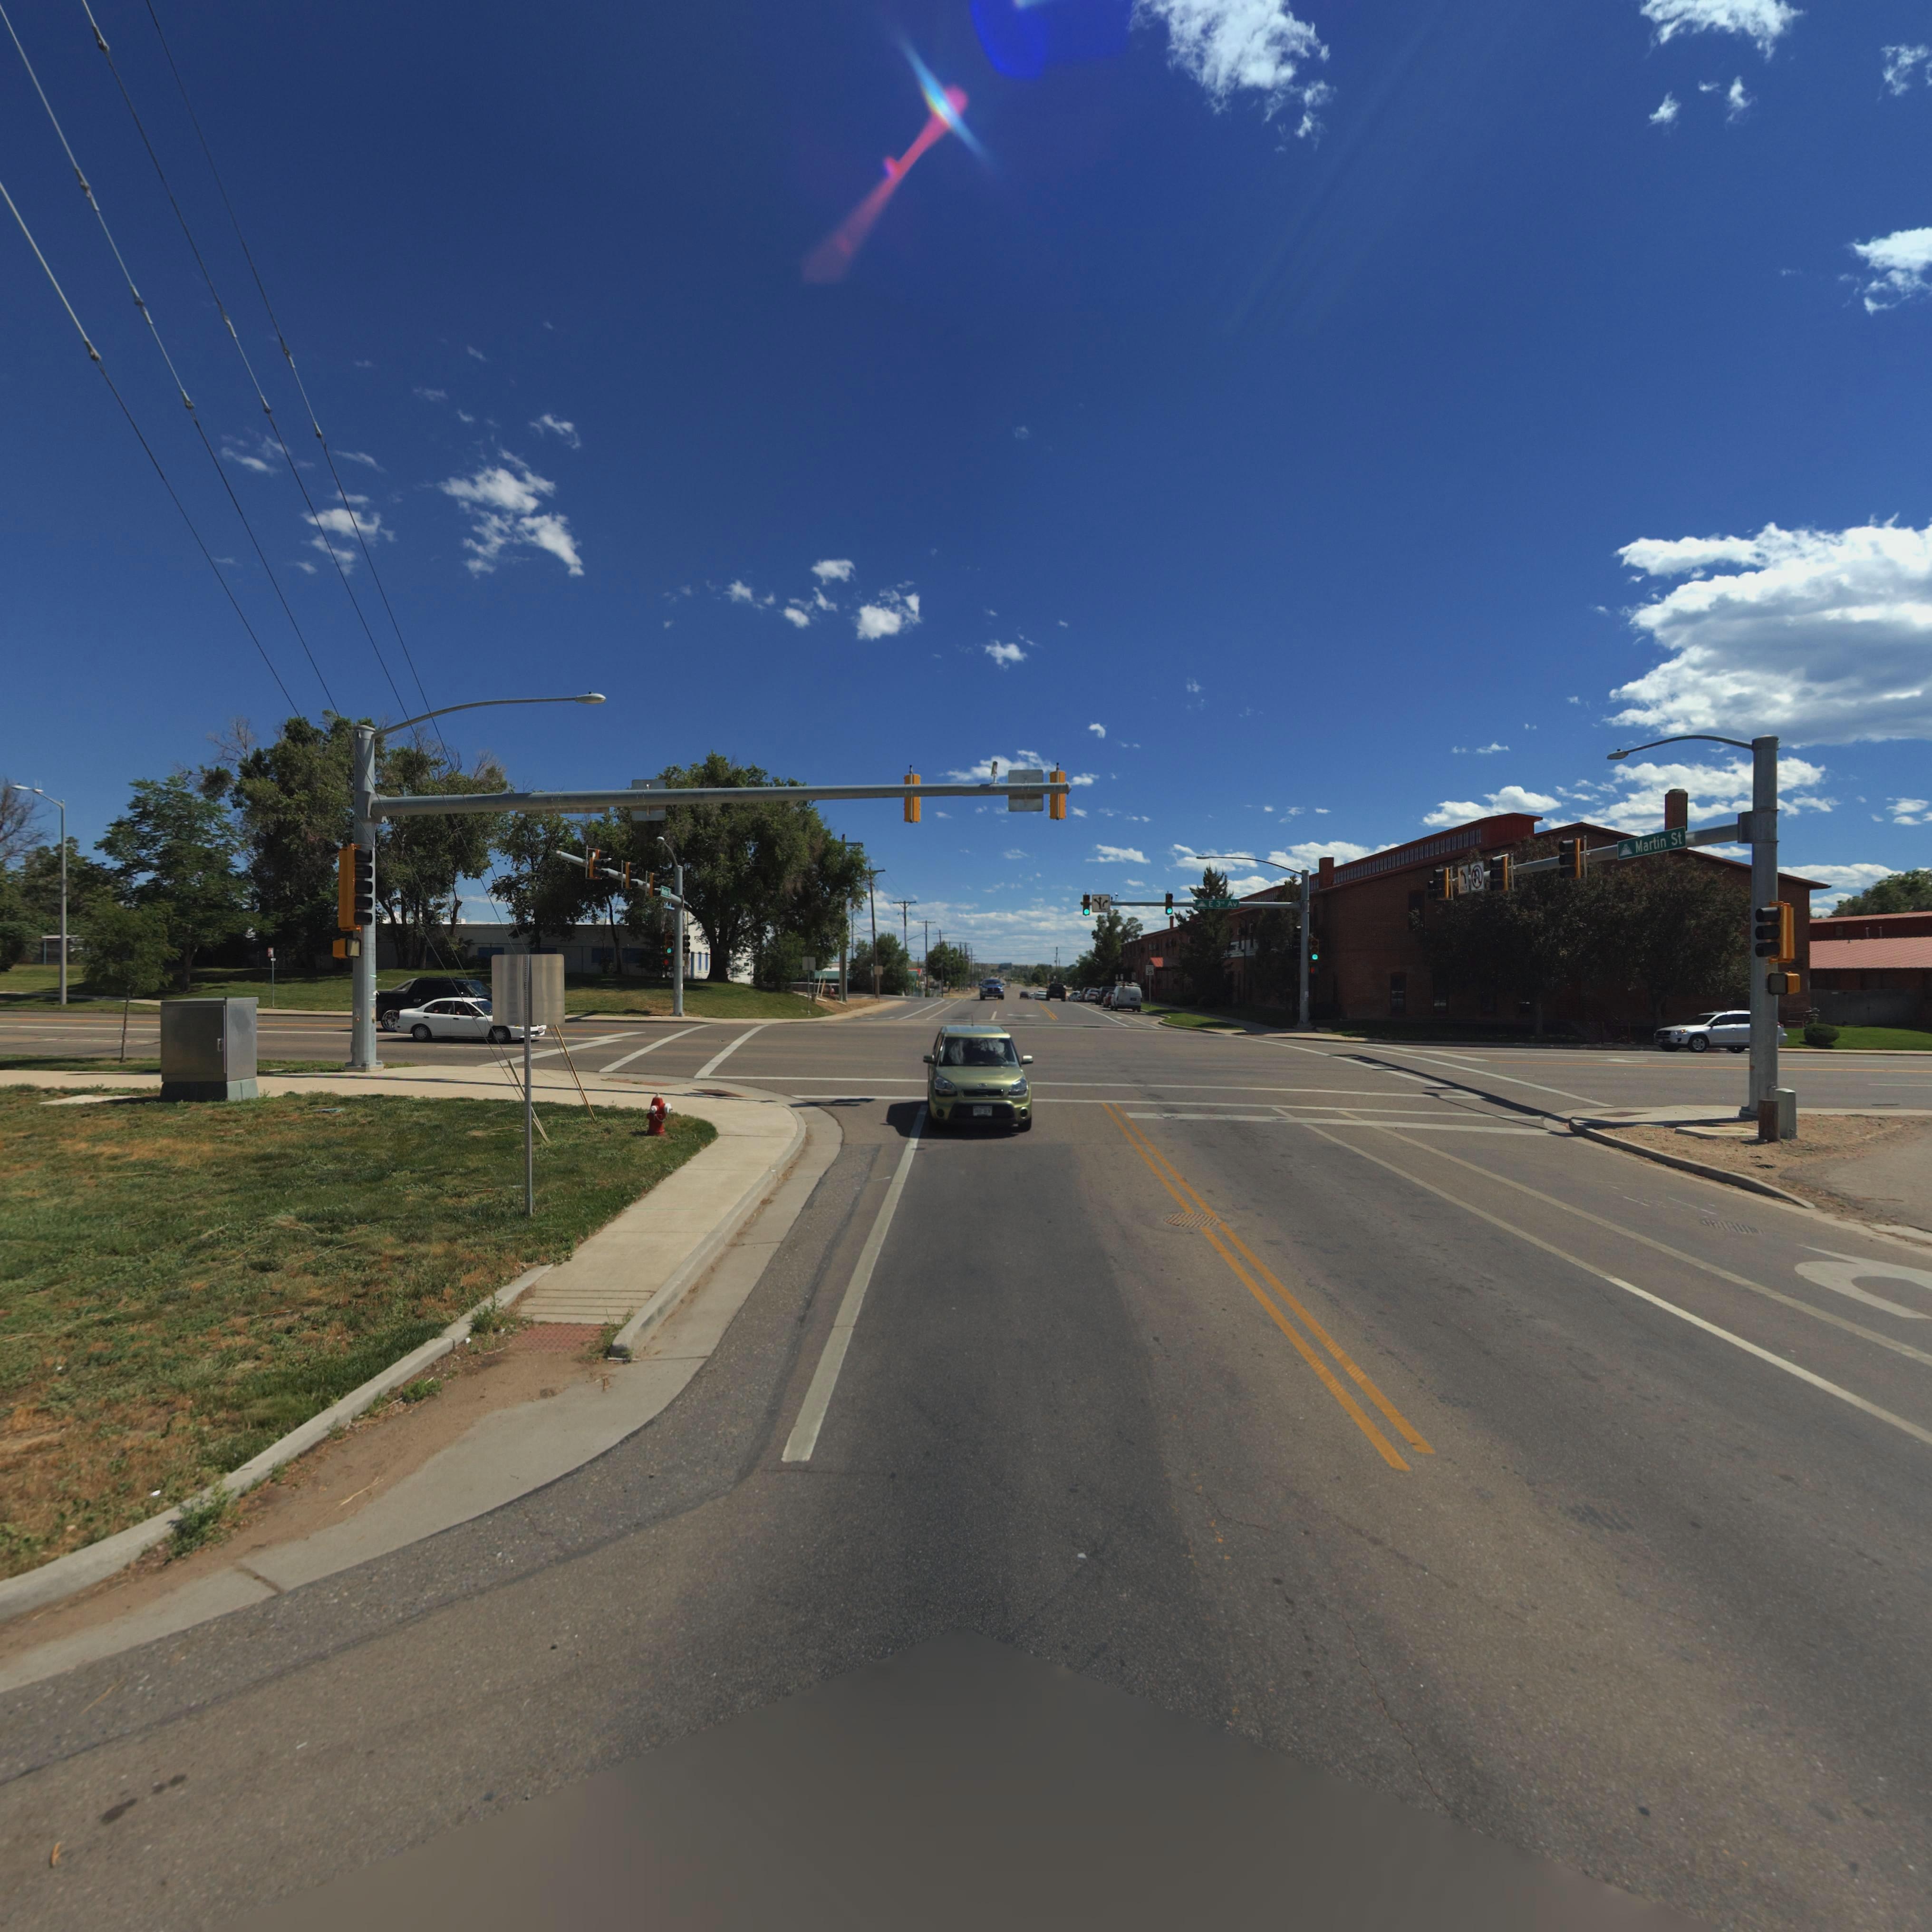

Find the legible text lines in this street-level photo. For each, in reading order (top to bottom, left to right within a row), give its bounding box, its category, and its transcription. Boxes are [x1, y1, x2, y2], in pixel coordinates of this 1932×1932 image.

[1634, 831, 1683, 853] StreetName: Martin St
[1207, 900, 1237, 908] StreetName: E 3rd Av